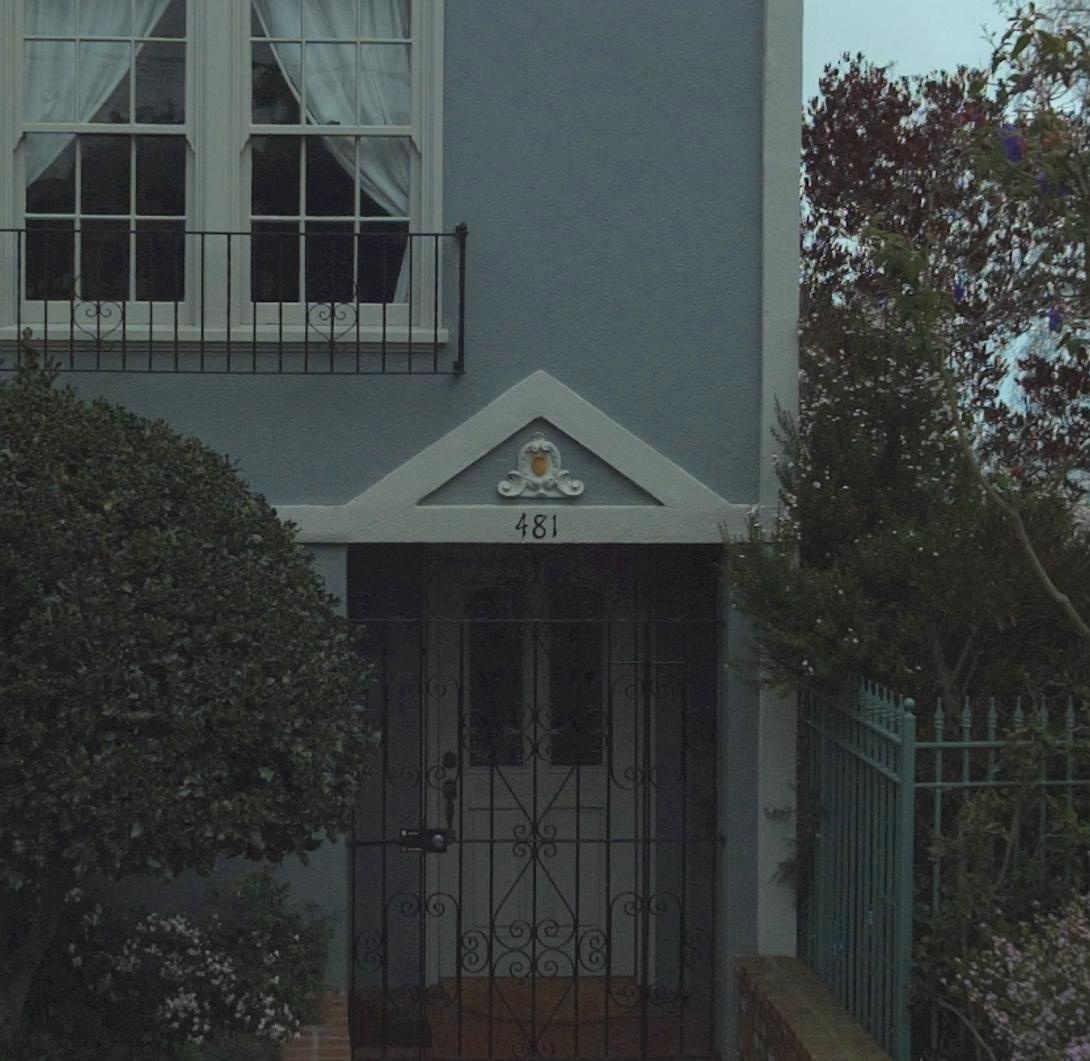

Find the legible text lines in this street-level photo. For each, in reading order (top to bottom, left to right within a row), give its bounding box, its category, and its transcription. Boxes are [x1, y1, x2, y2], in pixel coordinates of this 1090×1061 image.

[515, 511, 559, 541] StreetNumber: 481